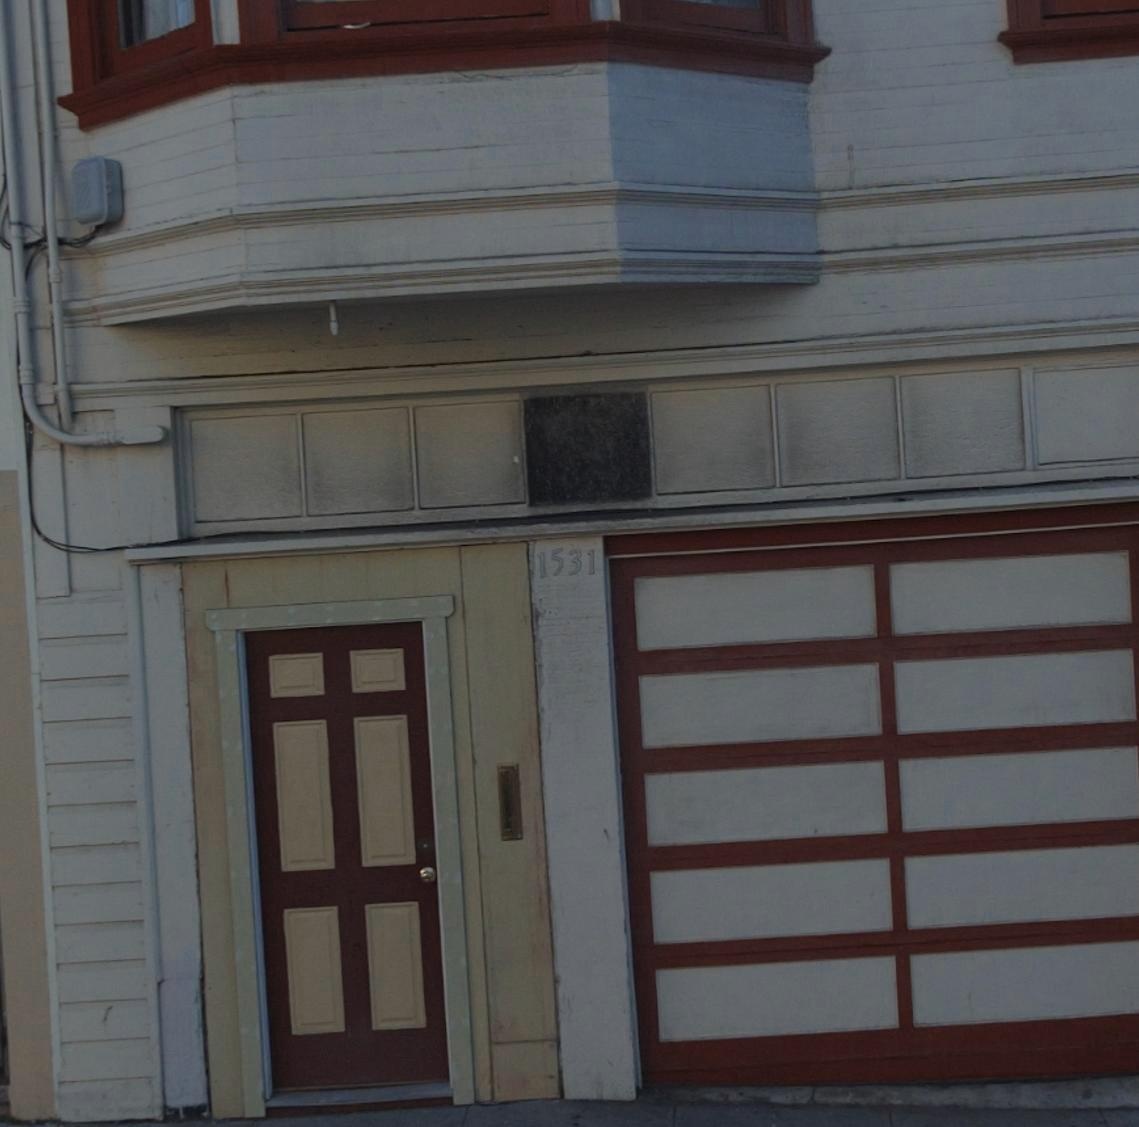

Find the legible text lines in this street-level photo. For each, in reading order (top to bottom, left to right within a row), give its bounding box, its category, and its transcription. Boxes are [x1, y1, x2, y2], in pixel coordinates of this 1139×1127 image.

[537, 546, 598, 580] StreetNumber: 1531